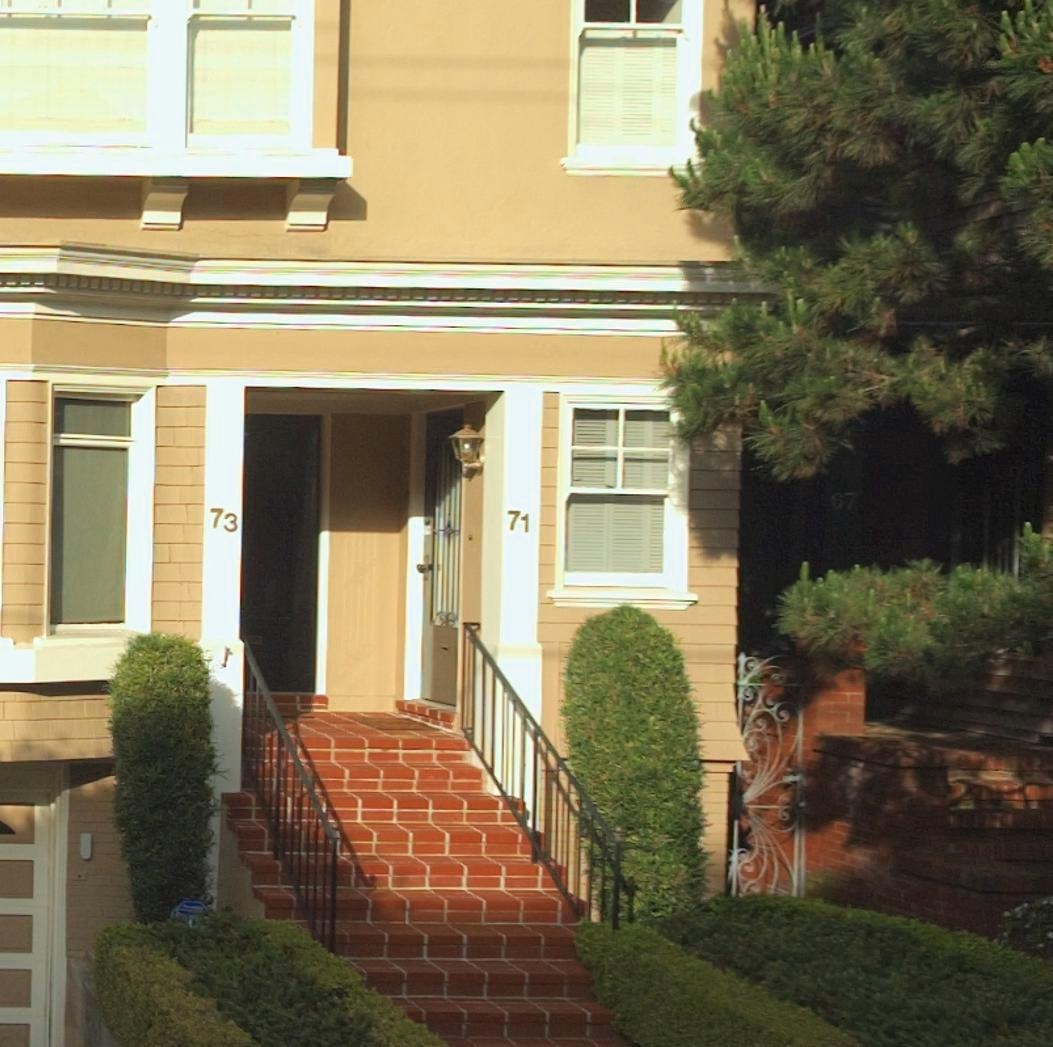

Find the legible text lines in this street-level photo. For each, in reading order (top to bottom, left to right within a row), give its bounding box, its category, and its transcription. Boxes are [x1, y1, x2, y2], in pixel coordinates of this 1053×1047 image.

[207, 505, 241, 536] StreetNumber: 73
[506, 508, 532, 535] StreetNumber: 71